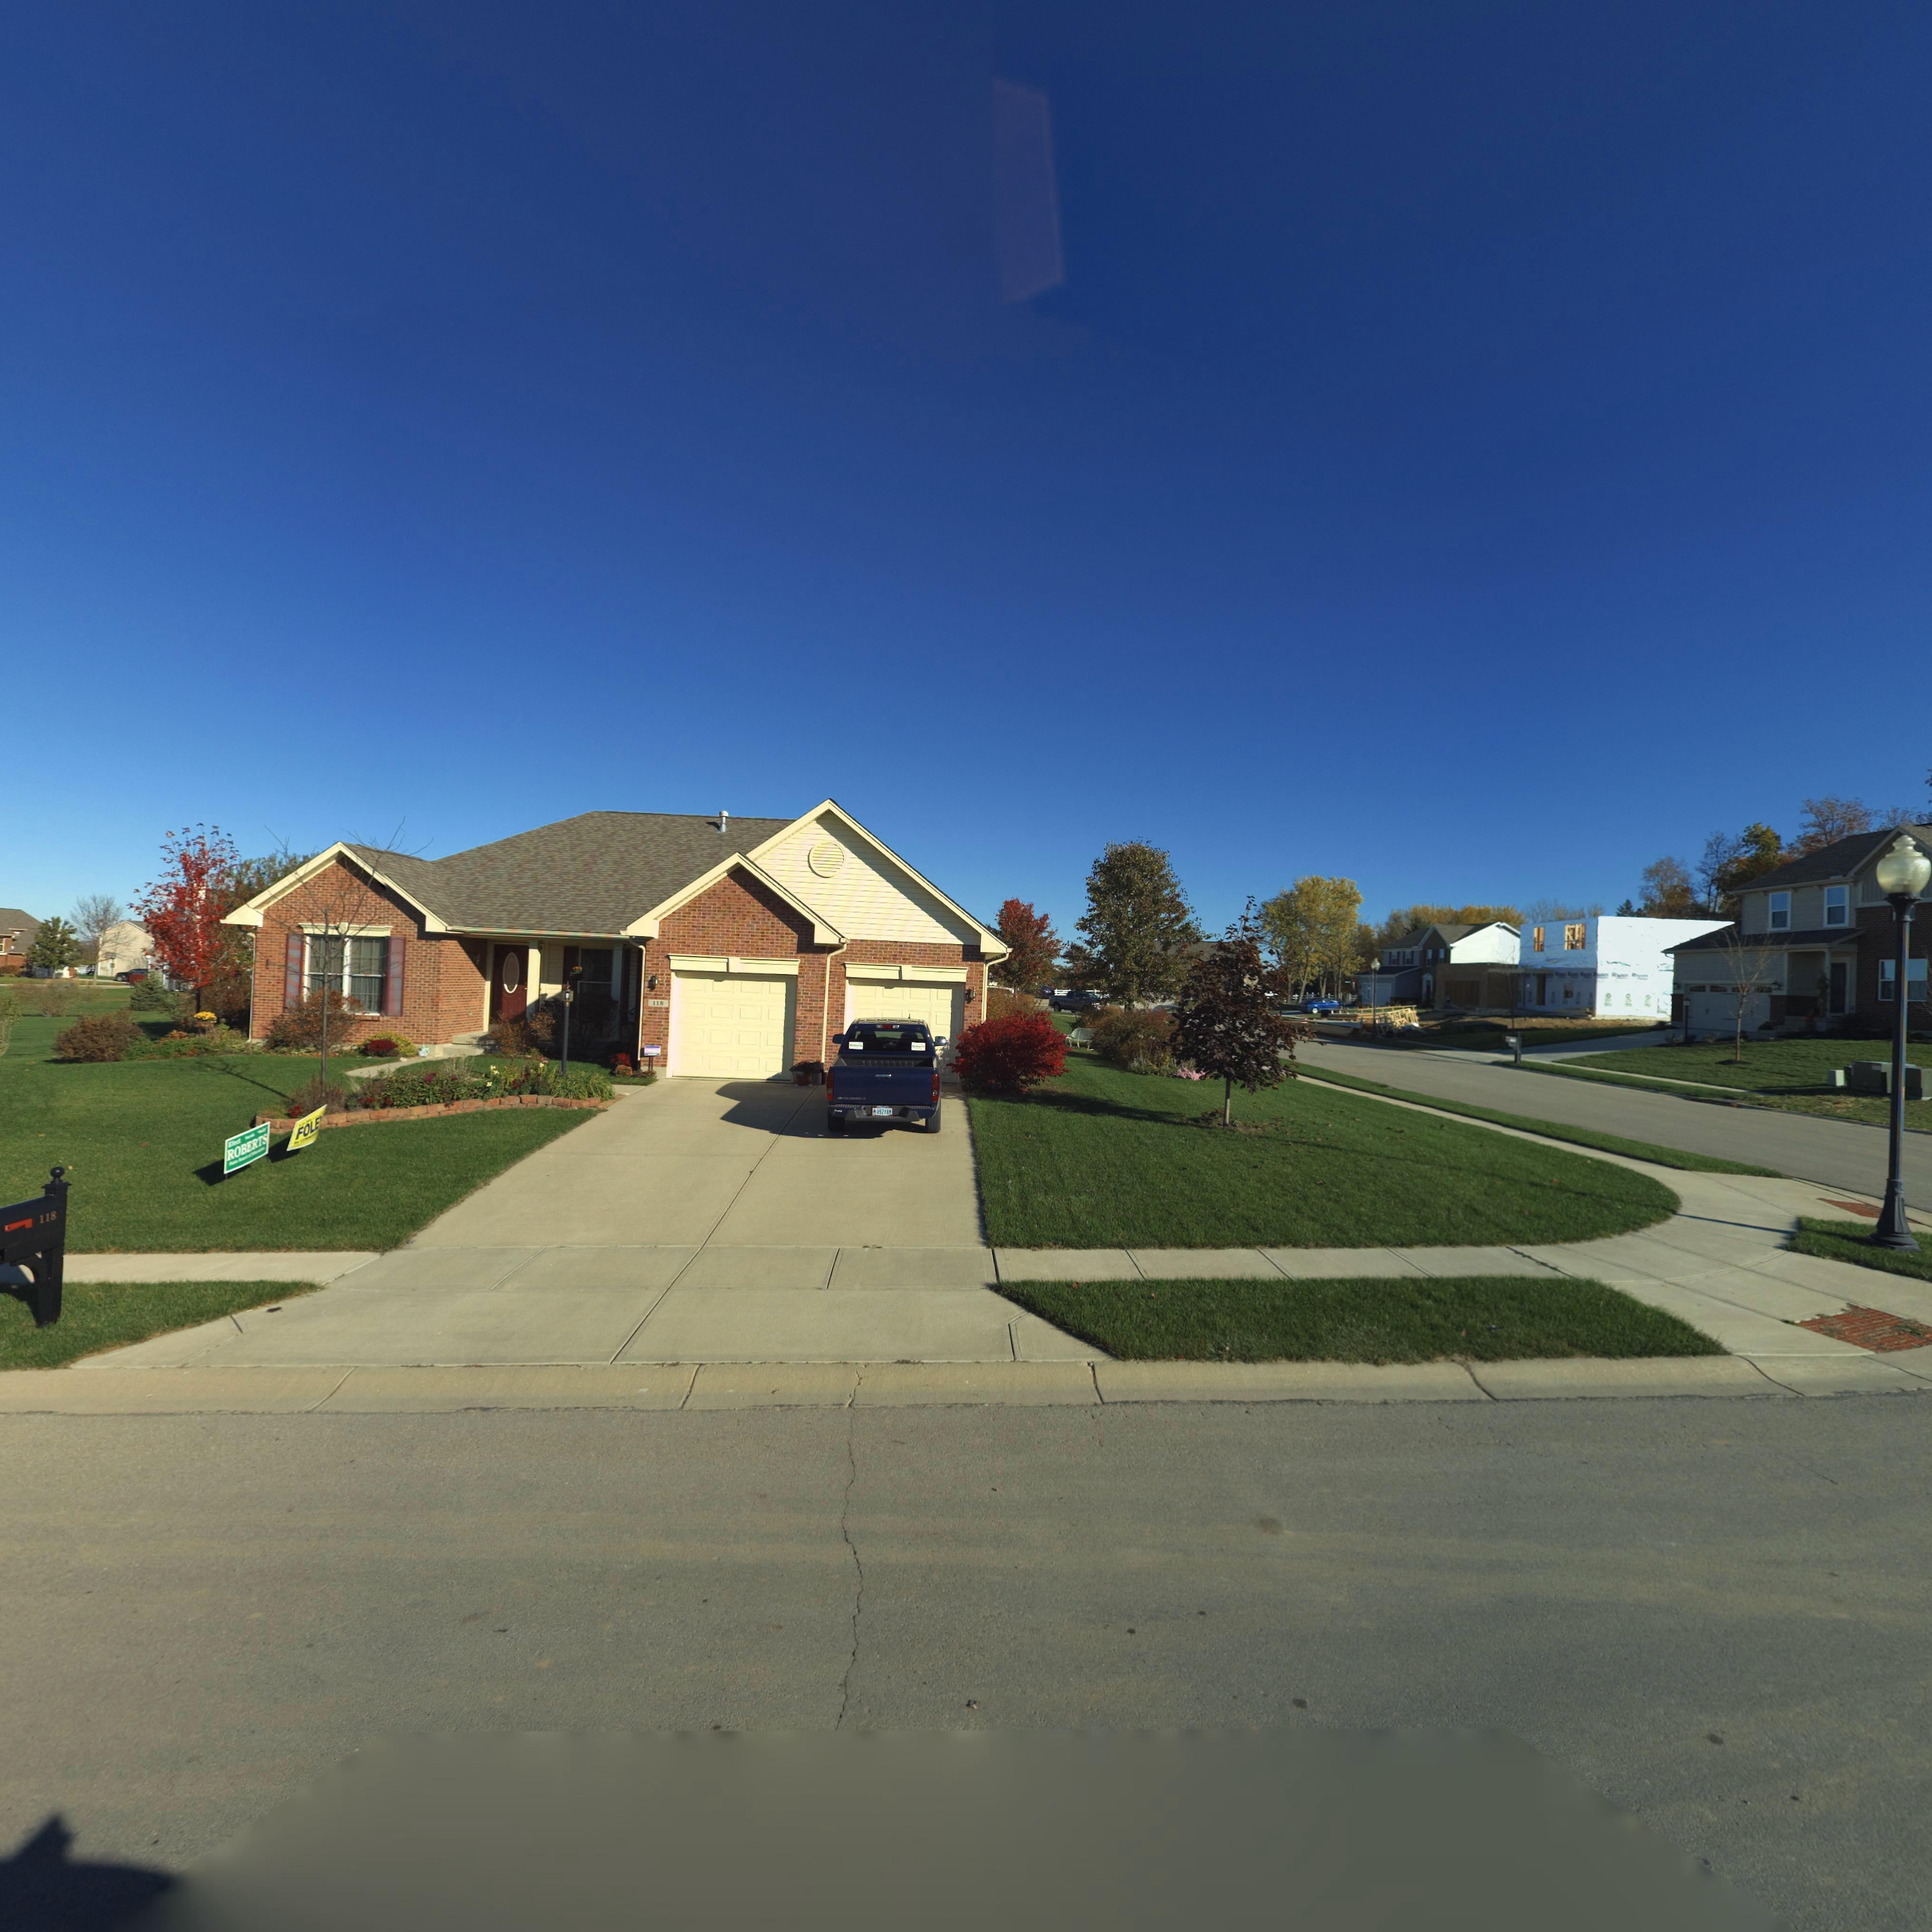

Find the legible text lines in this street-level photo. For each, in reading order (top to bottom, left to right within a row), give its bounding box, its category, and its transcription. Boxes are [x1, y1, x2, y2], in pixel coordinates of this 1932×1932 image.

[652, 1000, 664, 1006] StreetNumber: 118
[872, 1108, 892, 1115] None: *092***
[295, 1114, 321, 1143] None: FOLE
[225, 1131, 268, 1164] None: ROBERTS
[39, 1209, 58, 1225] StreetNumber: 118